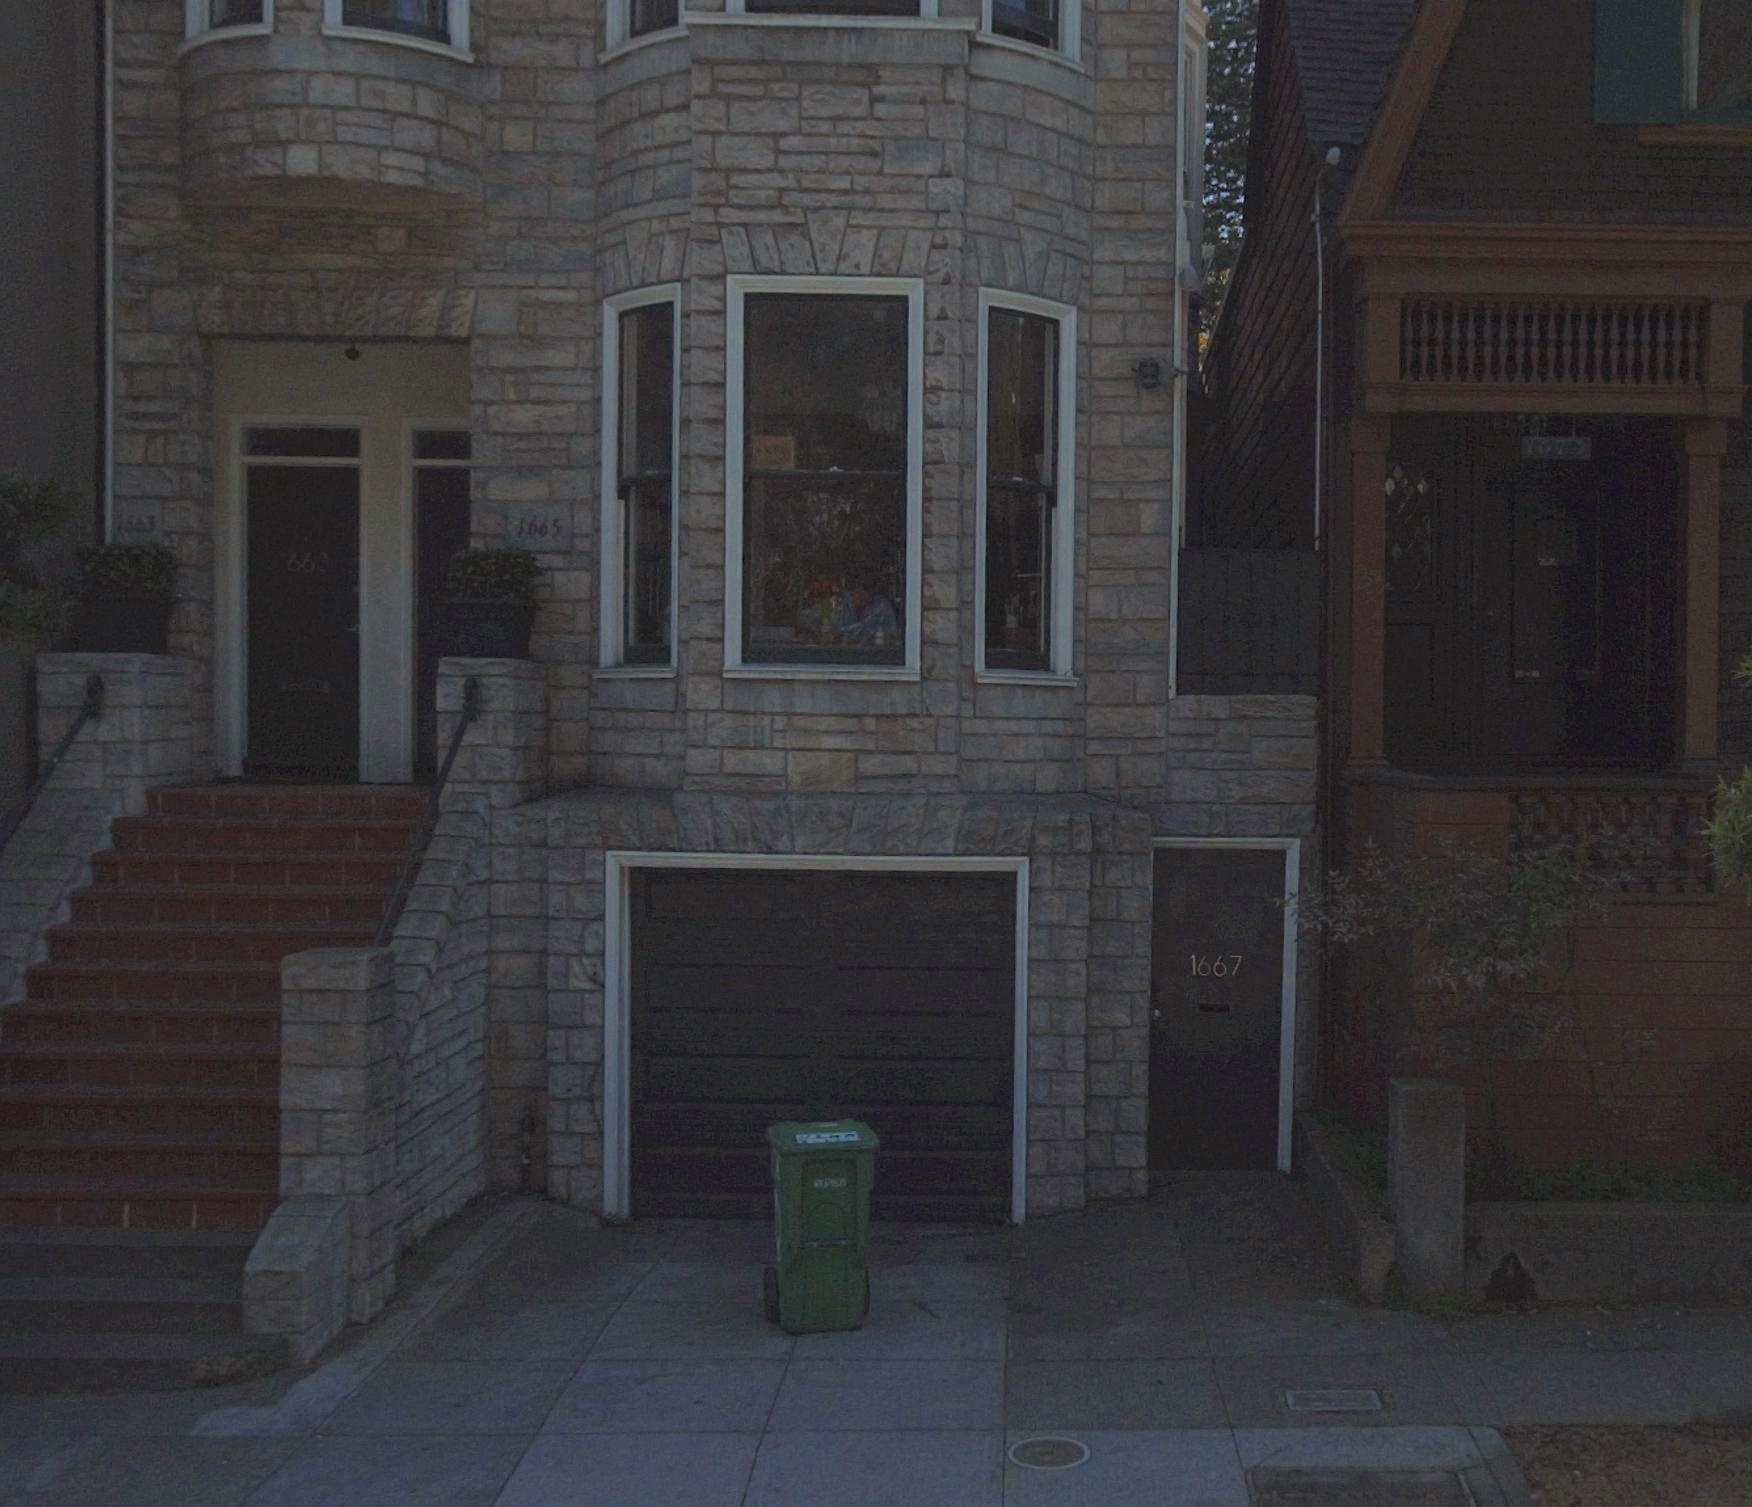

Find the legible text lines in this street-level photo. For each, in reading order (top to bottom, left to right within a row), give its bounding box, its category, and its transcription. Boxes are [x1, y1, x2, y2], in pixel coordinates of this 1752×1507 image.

[514, 512, 562, 542] StreetNumber: 1665
[1188, 951, 1244, 980] StreetNumber: 1667